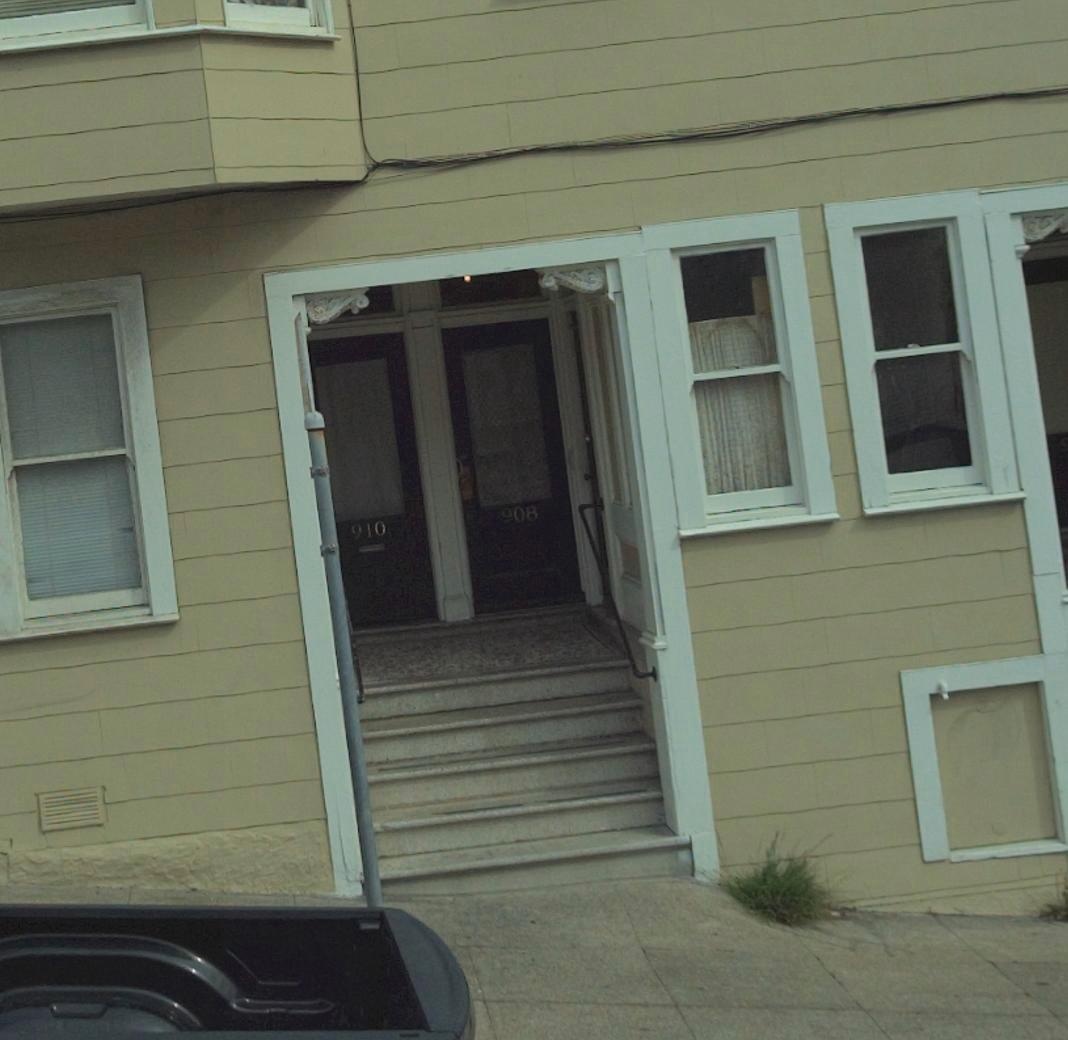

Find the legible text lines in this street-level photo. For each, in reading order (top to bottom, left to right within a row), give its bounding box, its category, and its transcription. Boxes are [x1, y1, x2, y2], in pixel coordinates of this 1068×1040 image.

[500, 503, 541, 525] StreetNumber: 908
[350, 518, 387, 542] None: 910